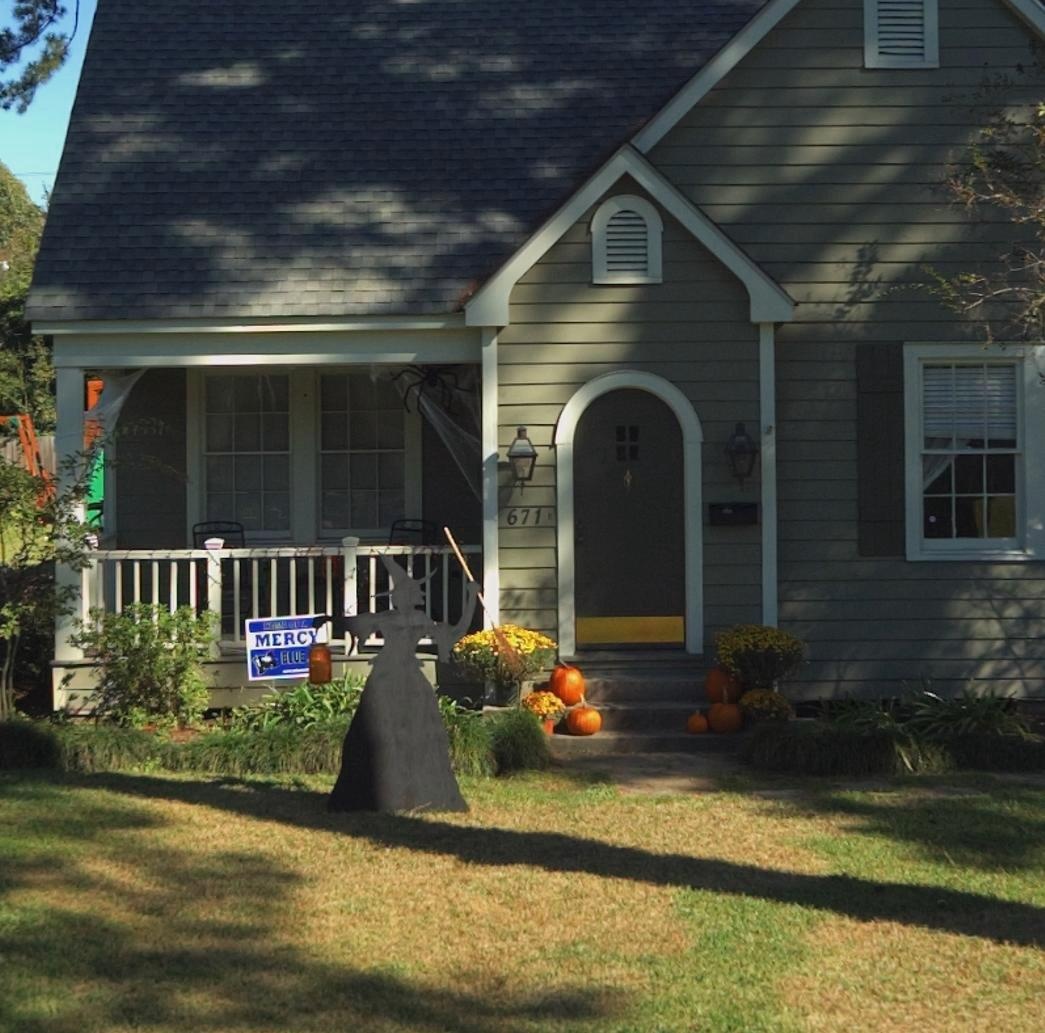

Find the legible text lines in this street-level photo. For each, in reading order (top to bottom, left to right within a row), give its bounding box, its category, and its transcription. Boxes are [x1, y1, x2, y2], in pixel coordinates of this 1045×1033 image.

[506, 505, 543, 526] StreetNumber: 671
[254, 629, 318, 649] None: MERCY
[279, 649, 306, 666] None: BLUE